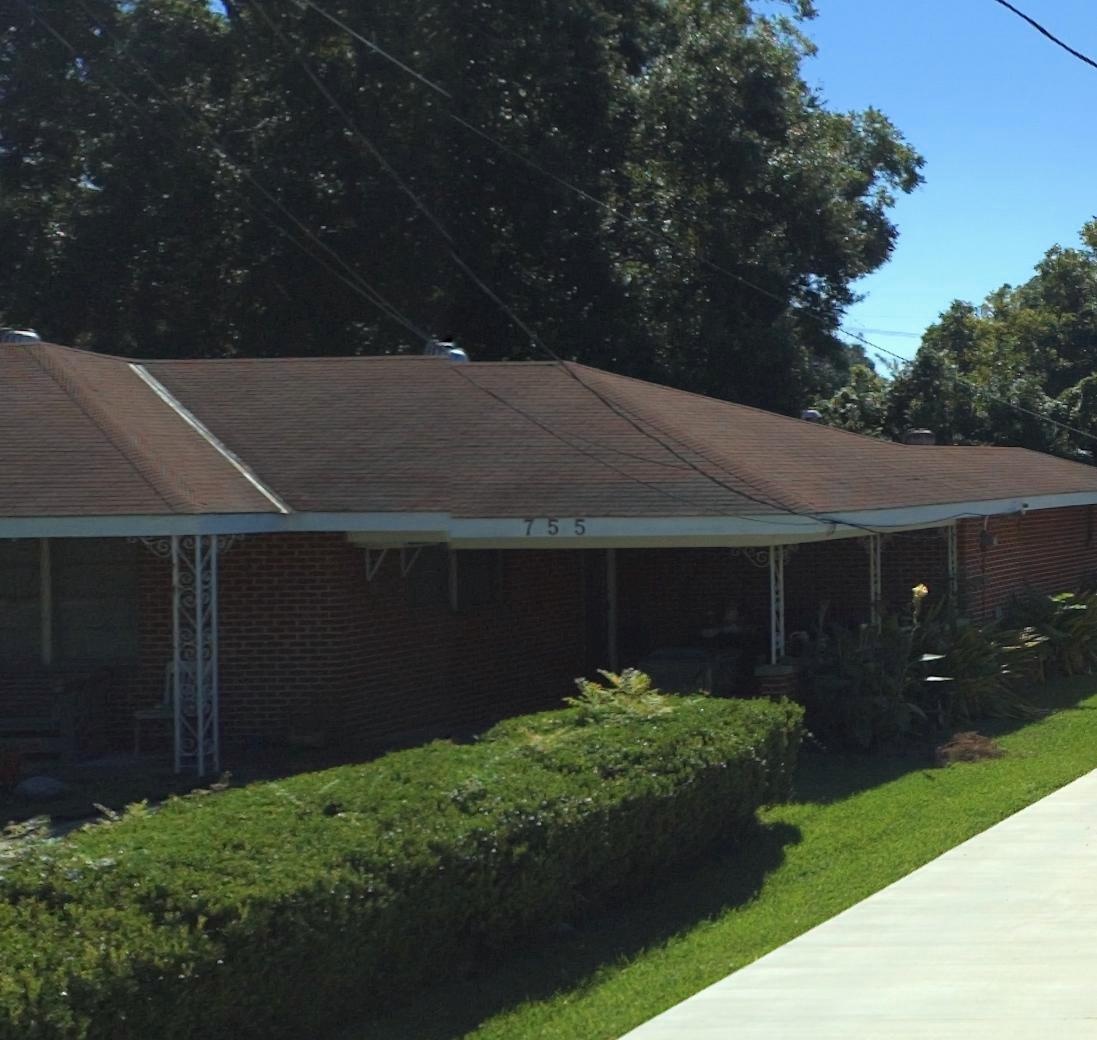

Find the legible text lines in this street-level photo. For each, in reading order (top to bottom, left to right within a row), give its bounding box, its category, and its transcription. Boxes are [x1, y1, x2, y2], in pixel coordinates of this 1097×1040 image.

[523, 518, 587, 536] StreetNumber: 755